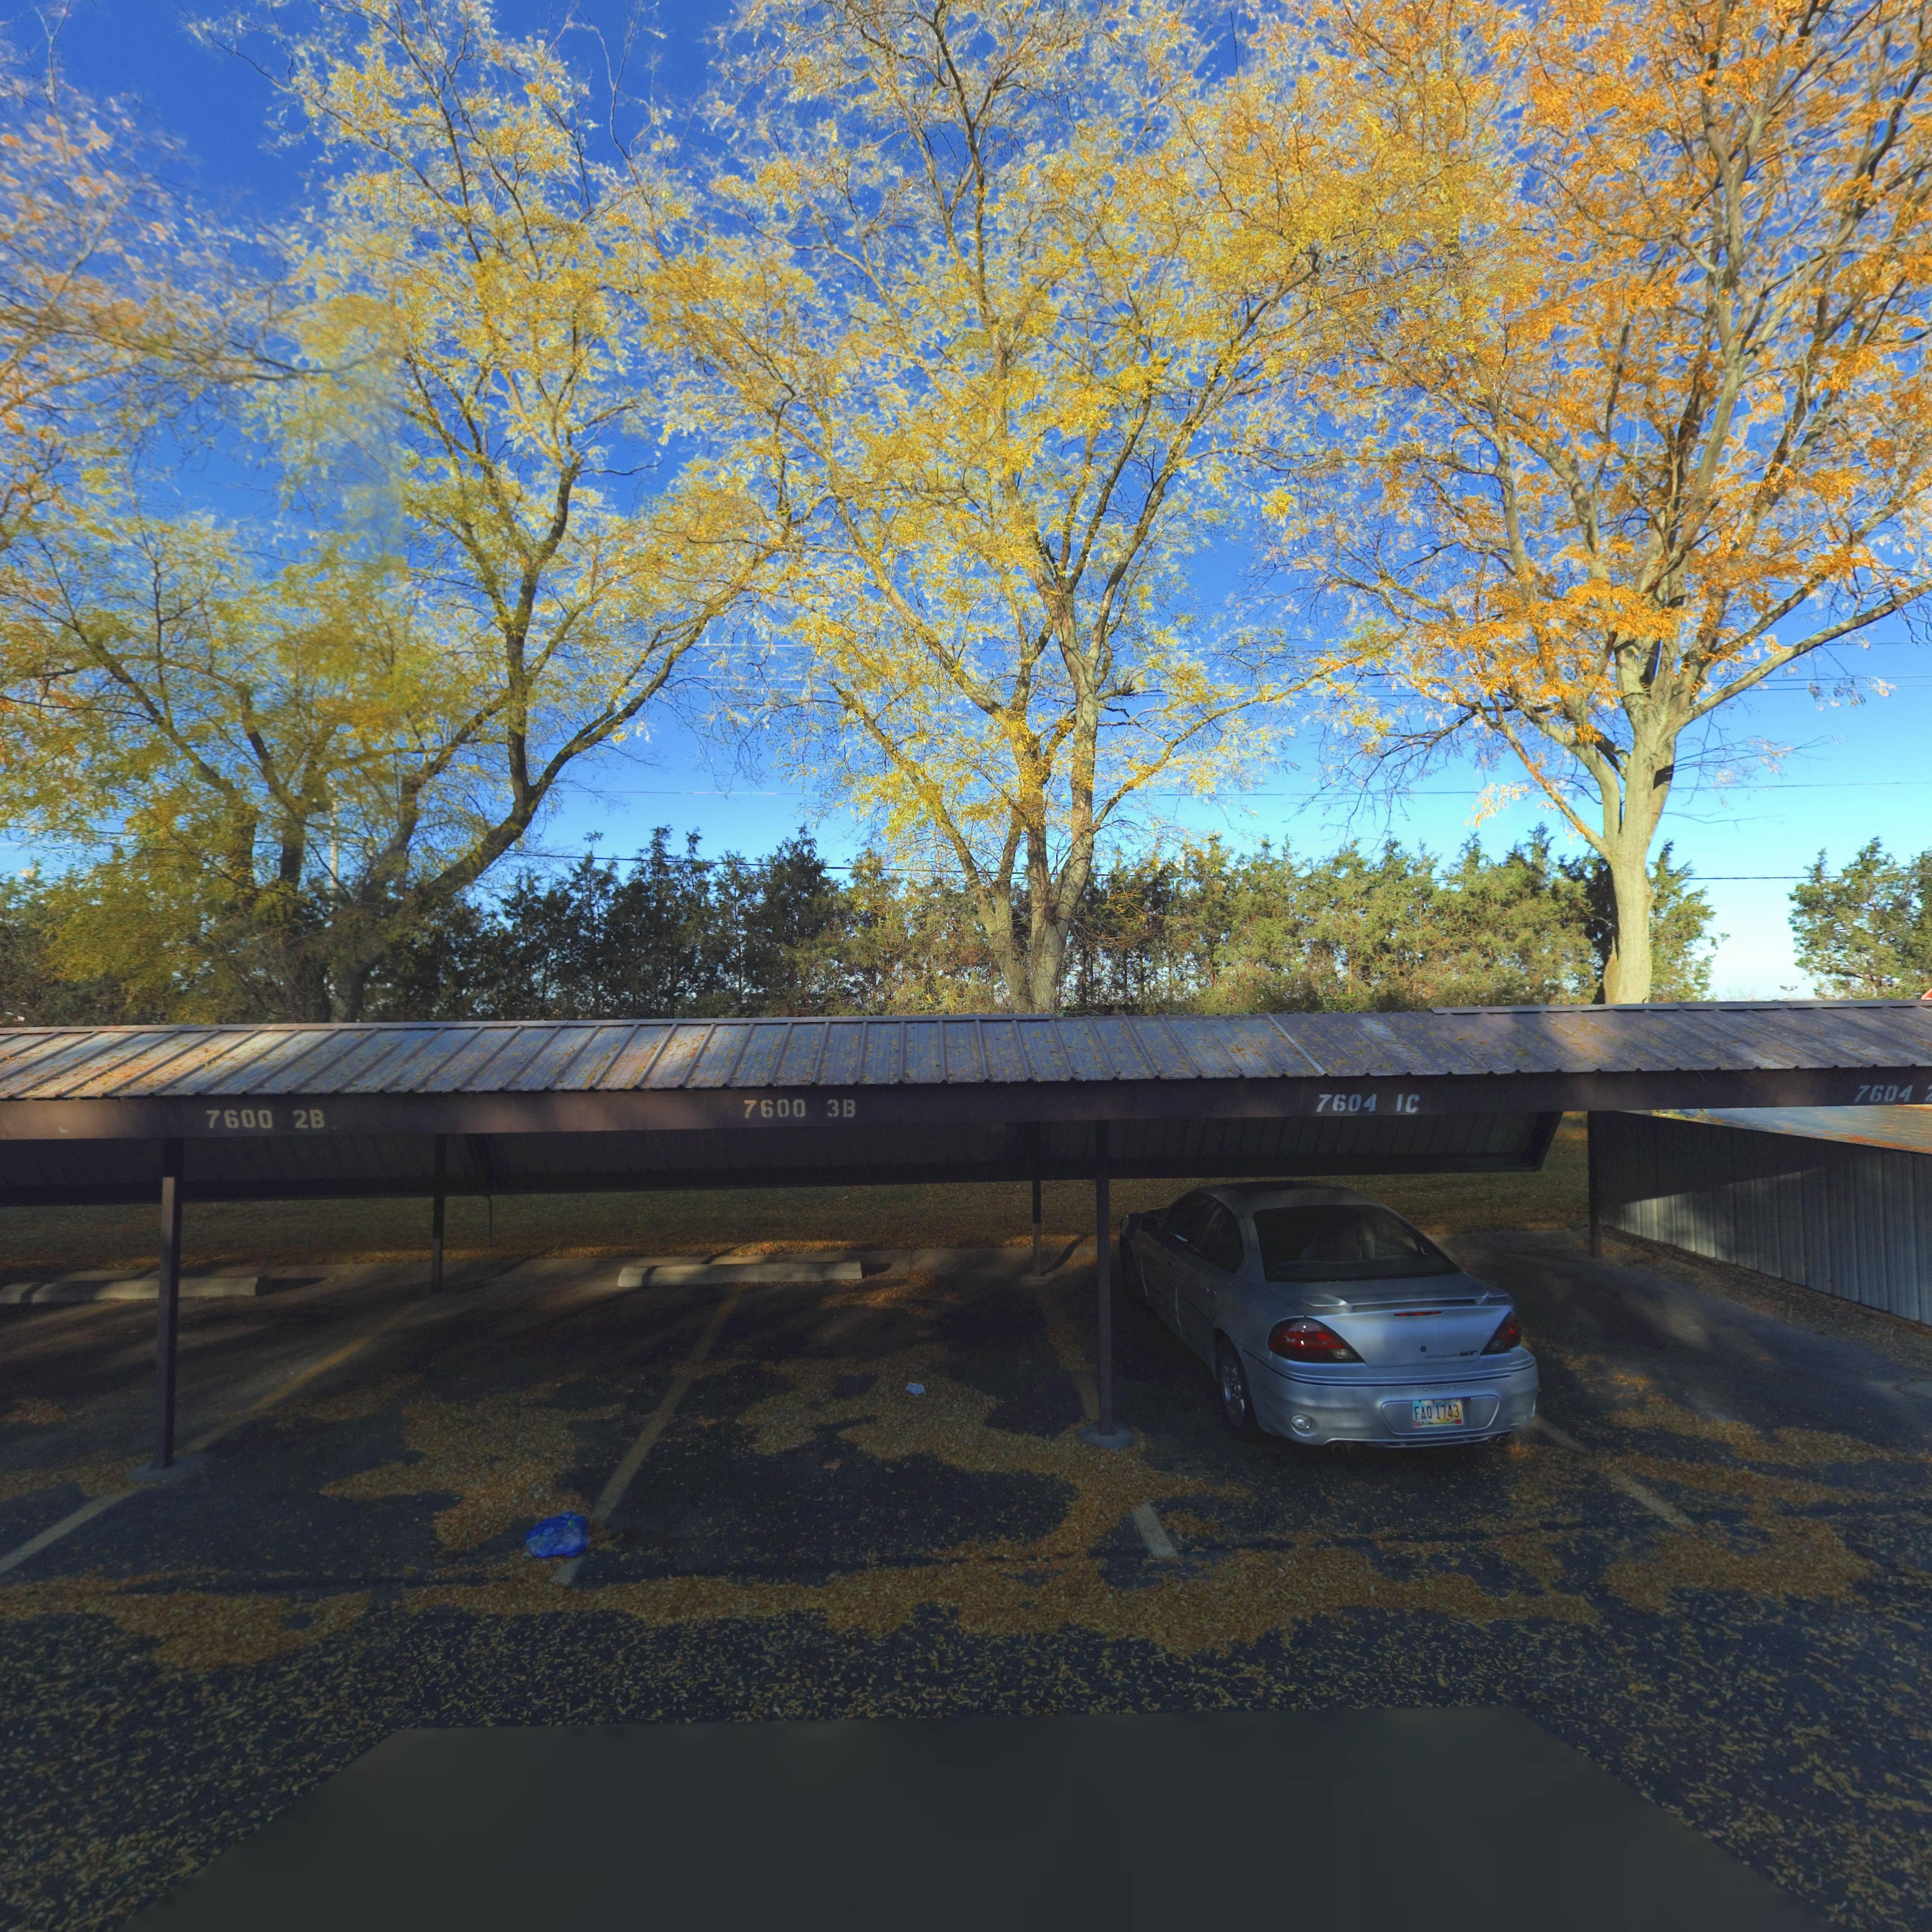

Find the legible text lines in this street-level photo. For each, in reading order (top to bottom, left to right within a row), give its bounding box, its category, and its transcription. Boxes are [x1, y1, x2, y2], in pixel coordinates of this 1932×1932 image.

[205, 1109, 274, 1130] StreetNumber: 7600
[743, 1098, 807, 1120] StreetNumber: 7600
[1315, 1093, 1378, 1112] StreetNumber: 7604
[1853, 1084, 1914, 1103] StreetNumber: 7604